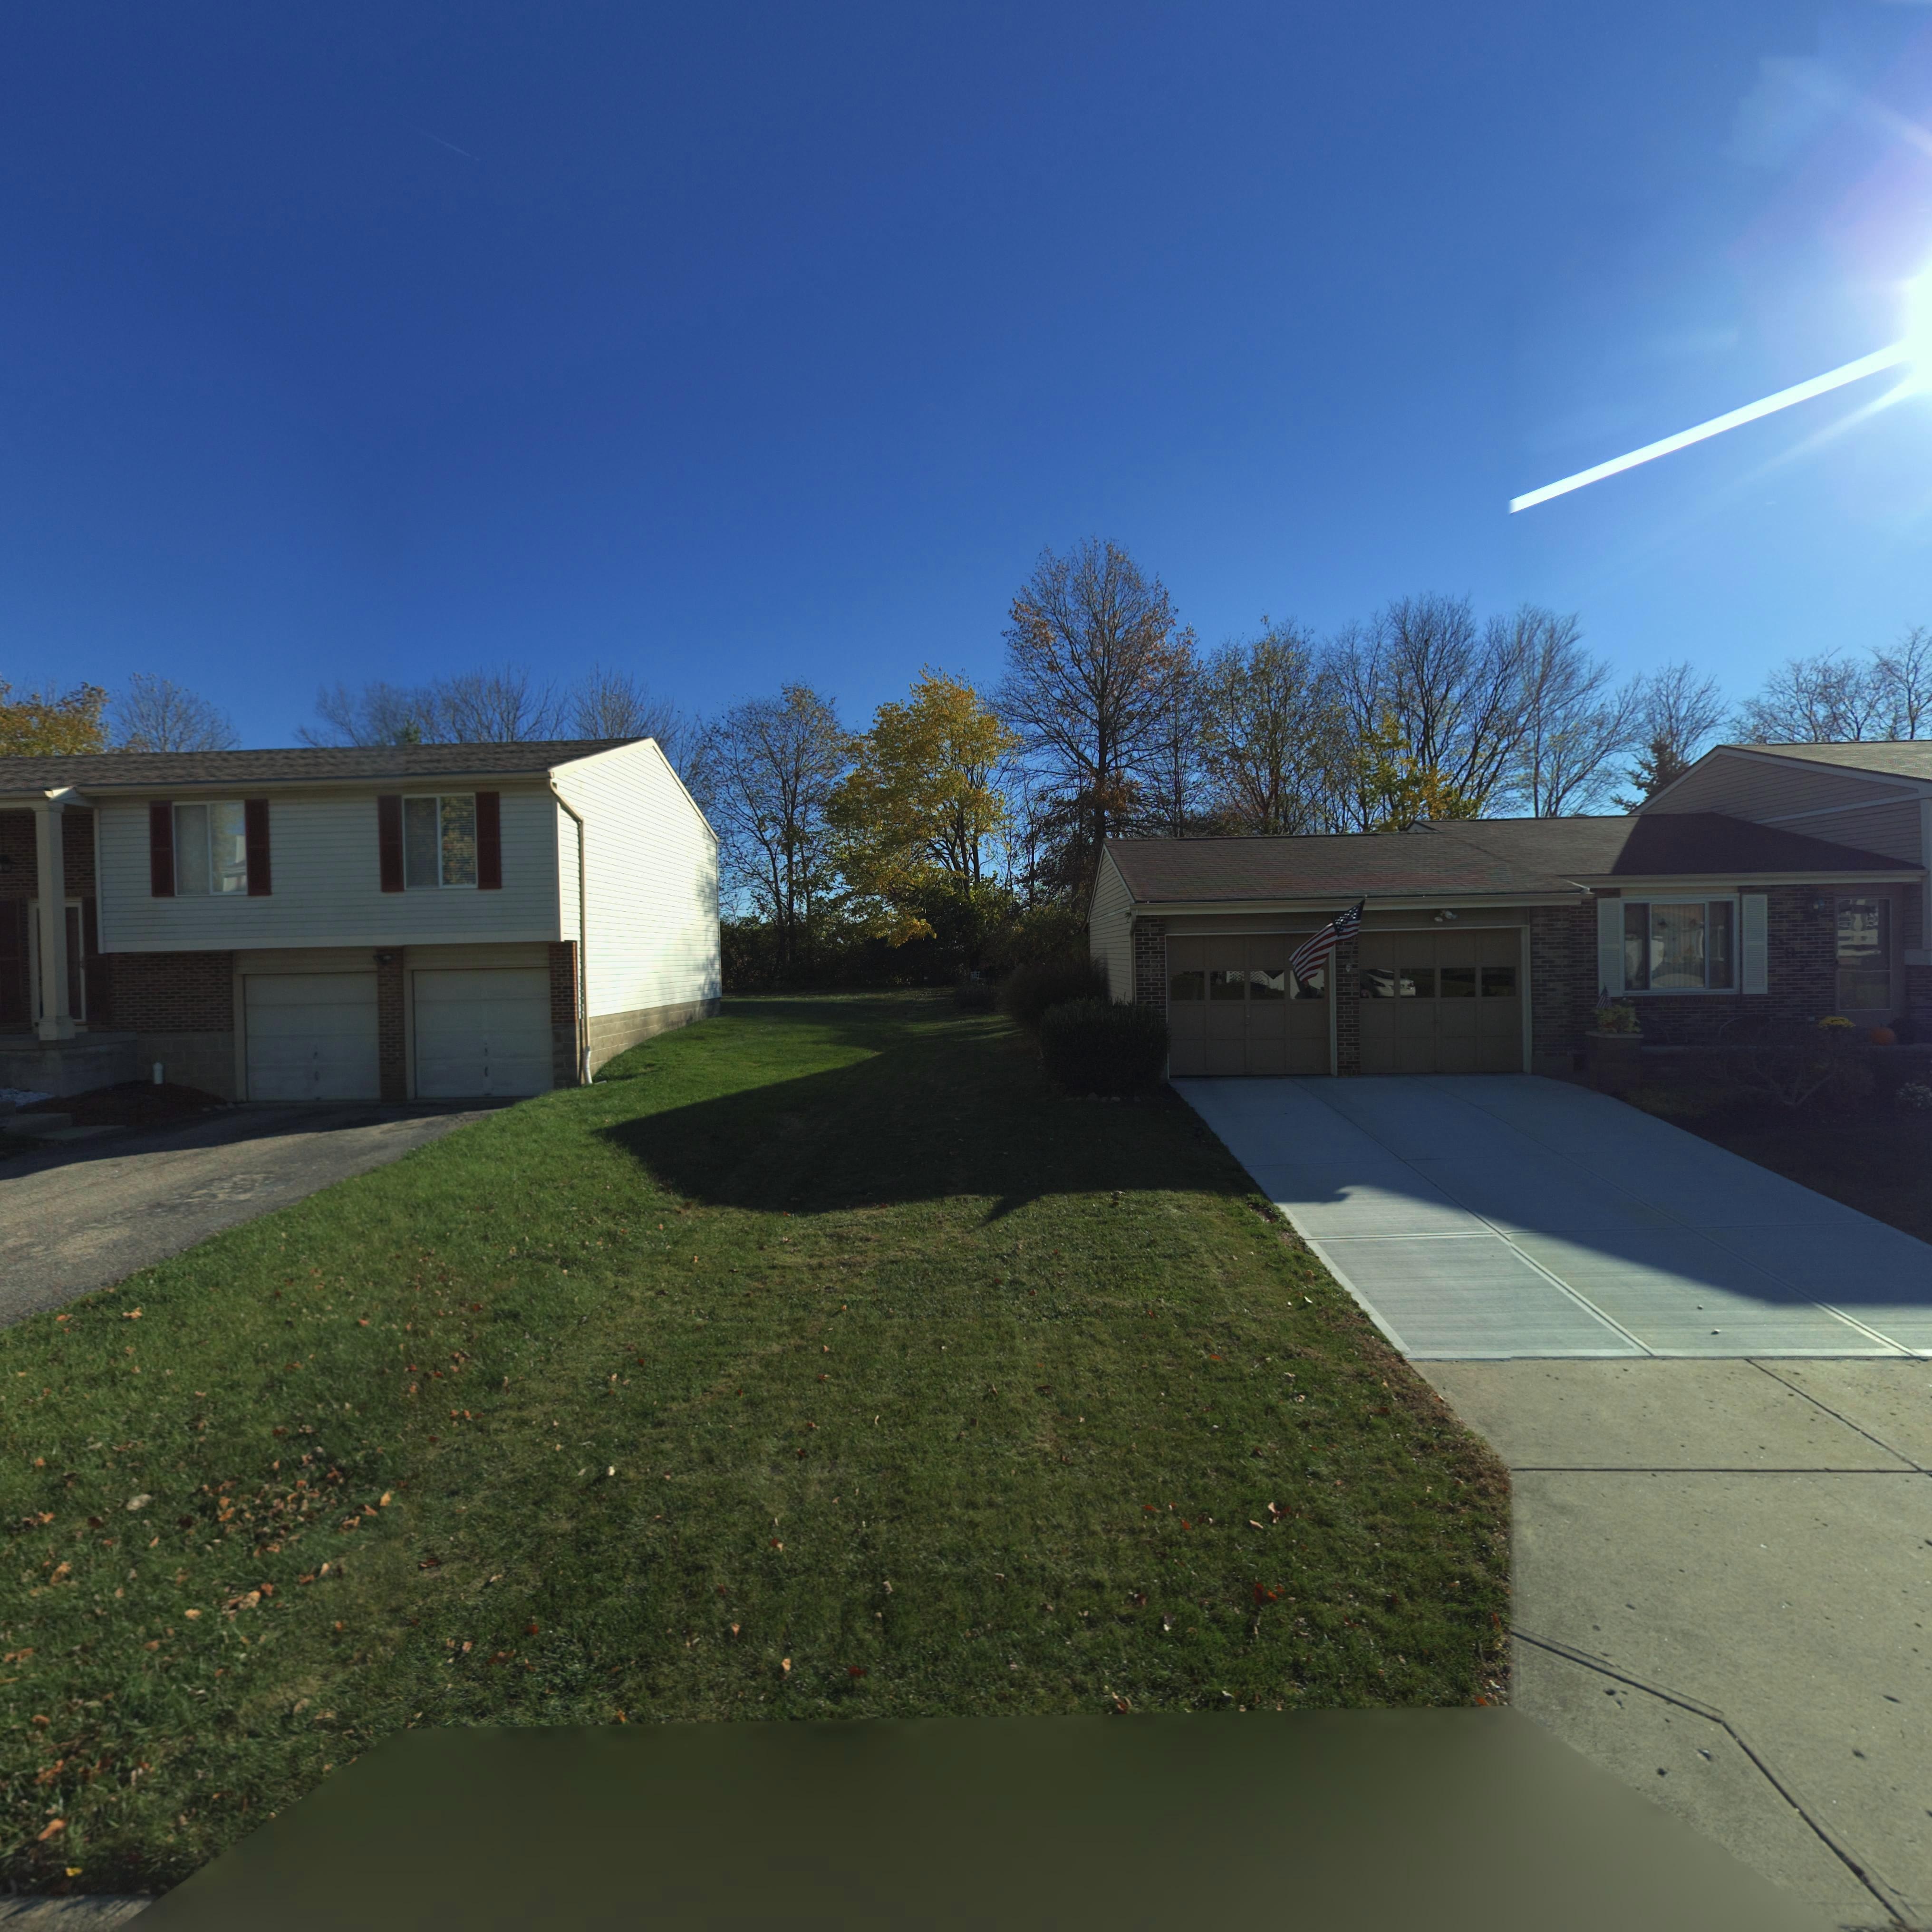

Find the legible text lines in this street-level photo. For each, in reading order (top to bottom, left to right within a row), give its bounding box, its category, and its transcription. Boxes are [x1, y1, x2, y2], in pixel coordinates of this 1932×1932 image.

[1771, 934, 1821, 985] StreetNumber: 5872